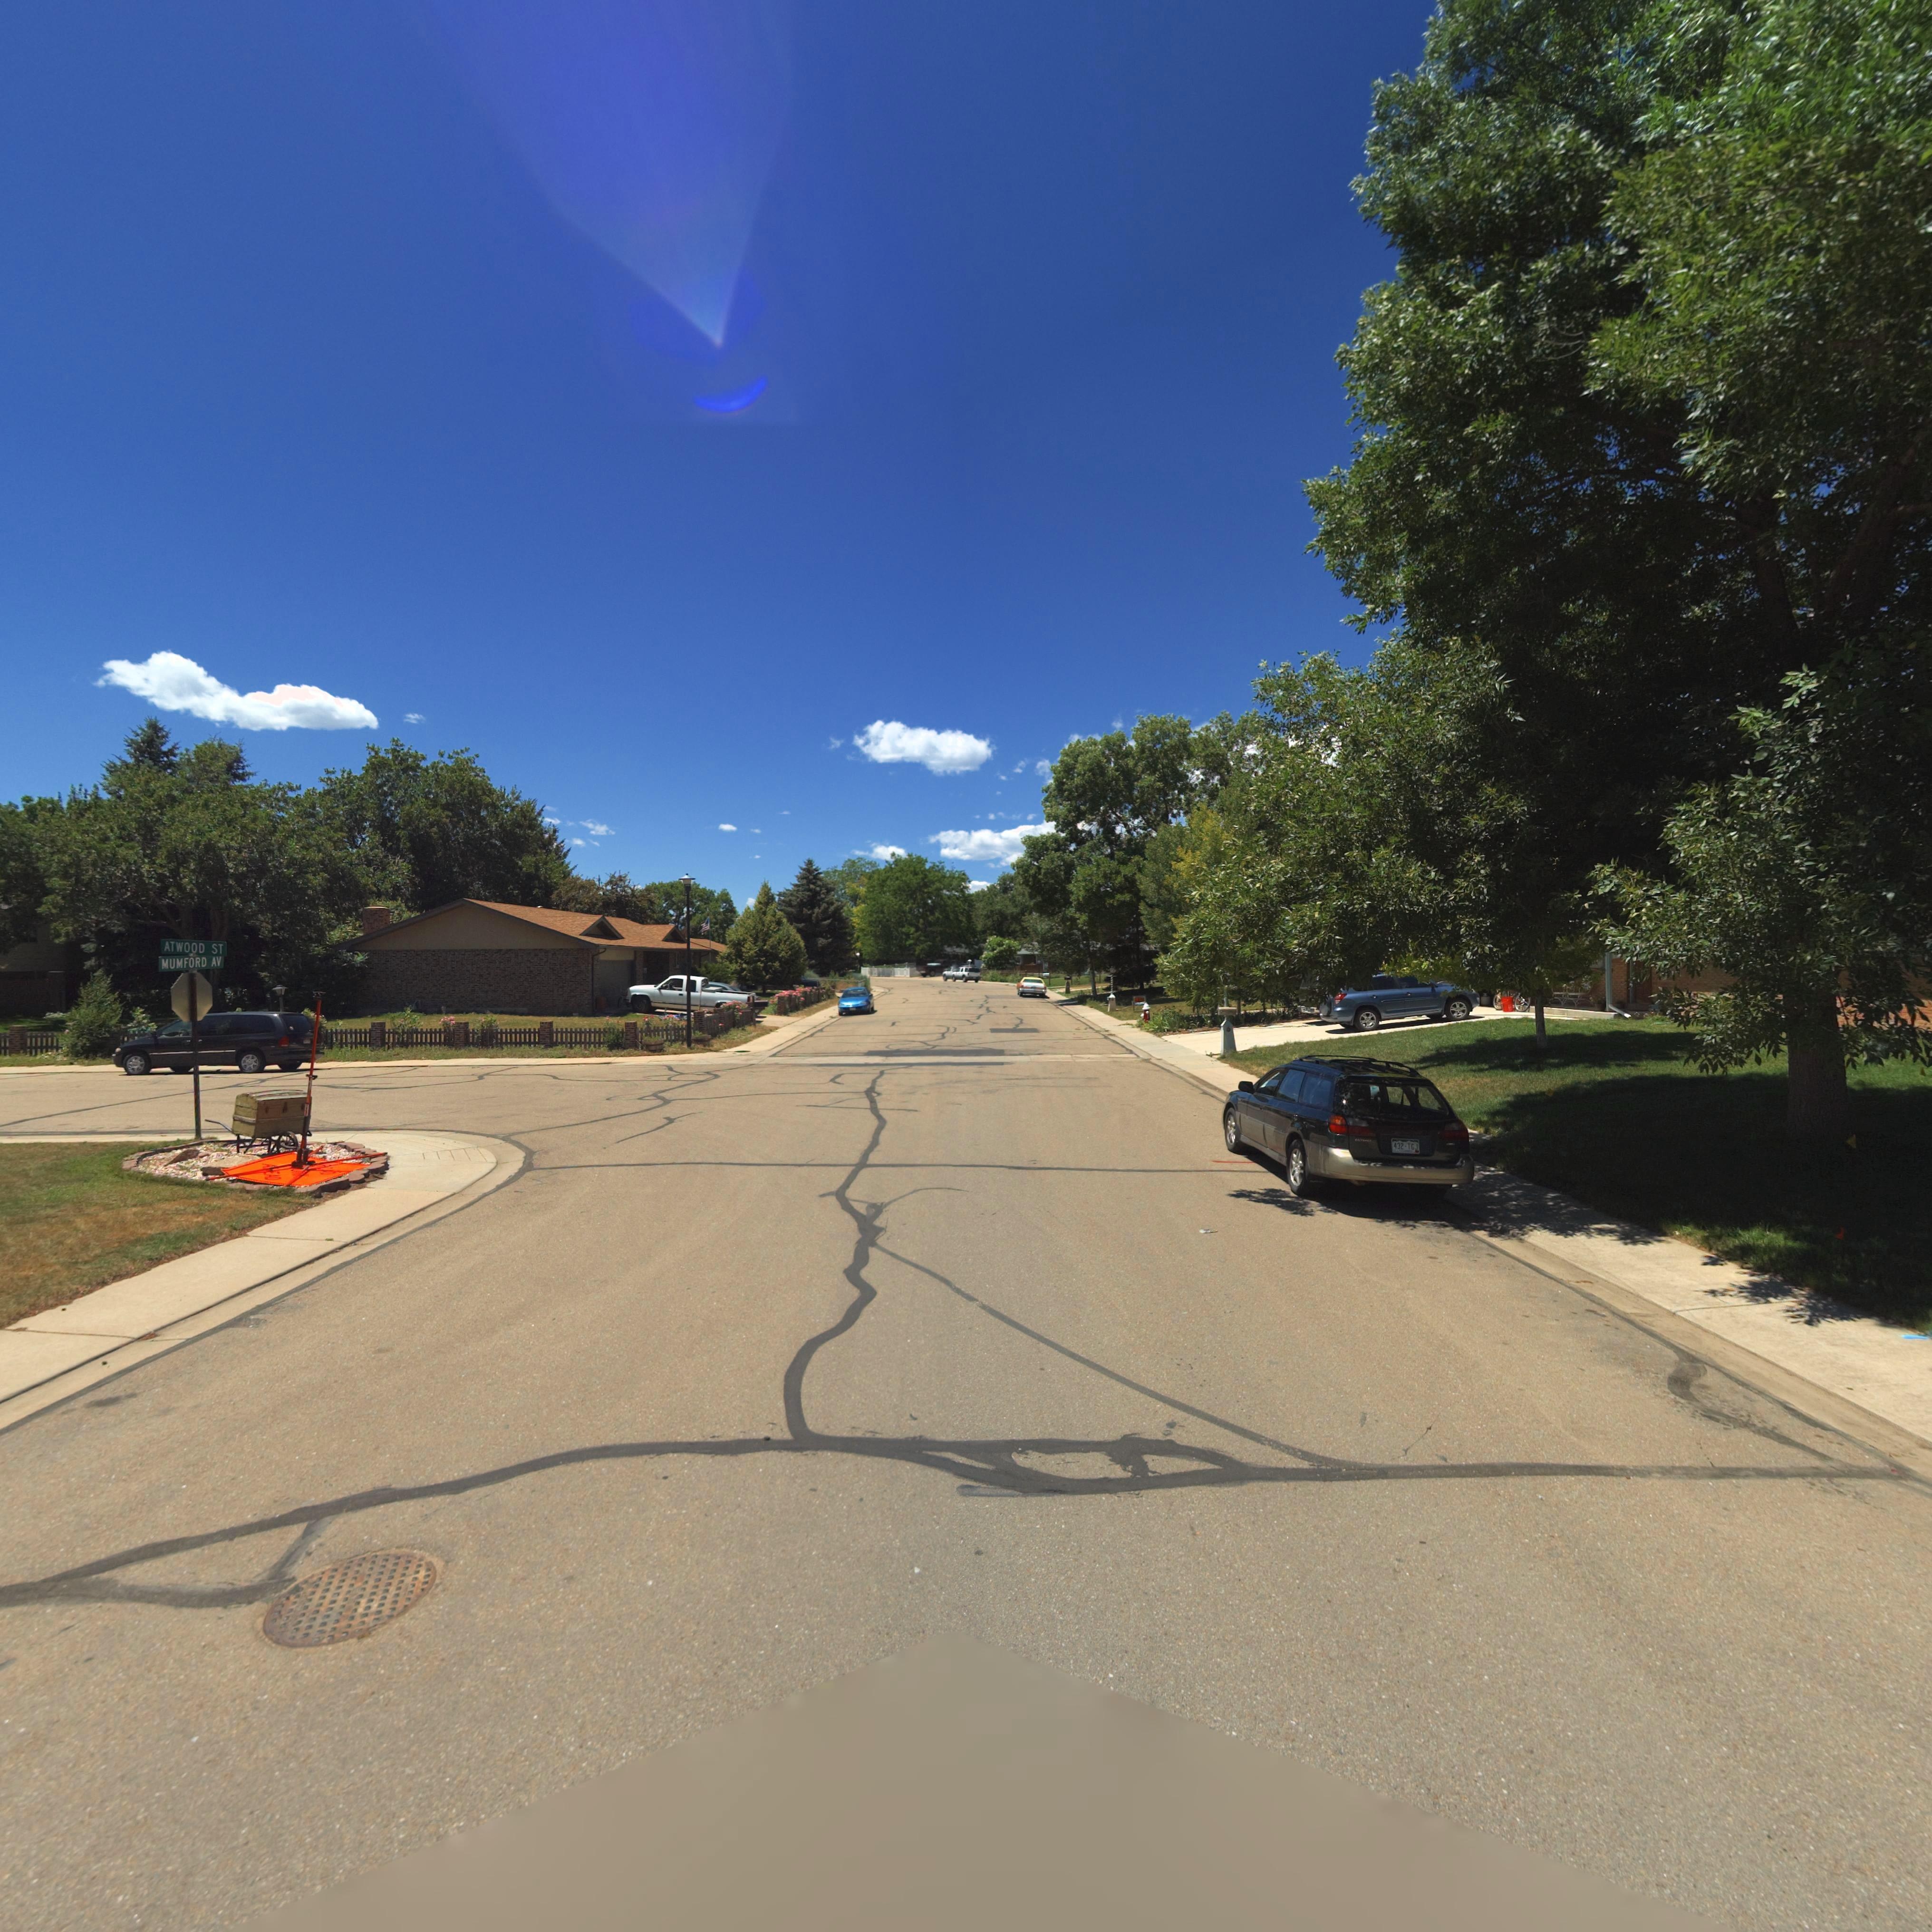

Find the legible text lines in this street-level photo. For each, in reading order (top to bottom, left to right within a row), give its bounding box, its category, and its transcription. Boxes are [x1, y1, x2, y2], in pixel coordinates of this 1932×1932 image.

[163, 941, 223, 954] StreetName: ATWOOD ST
[161, 956, 222, 969] StreetName: MUMFORD AV